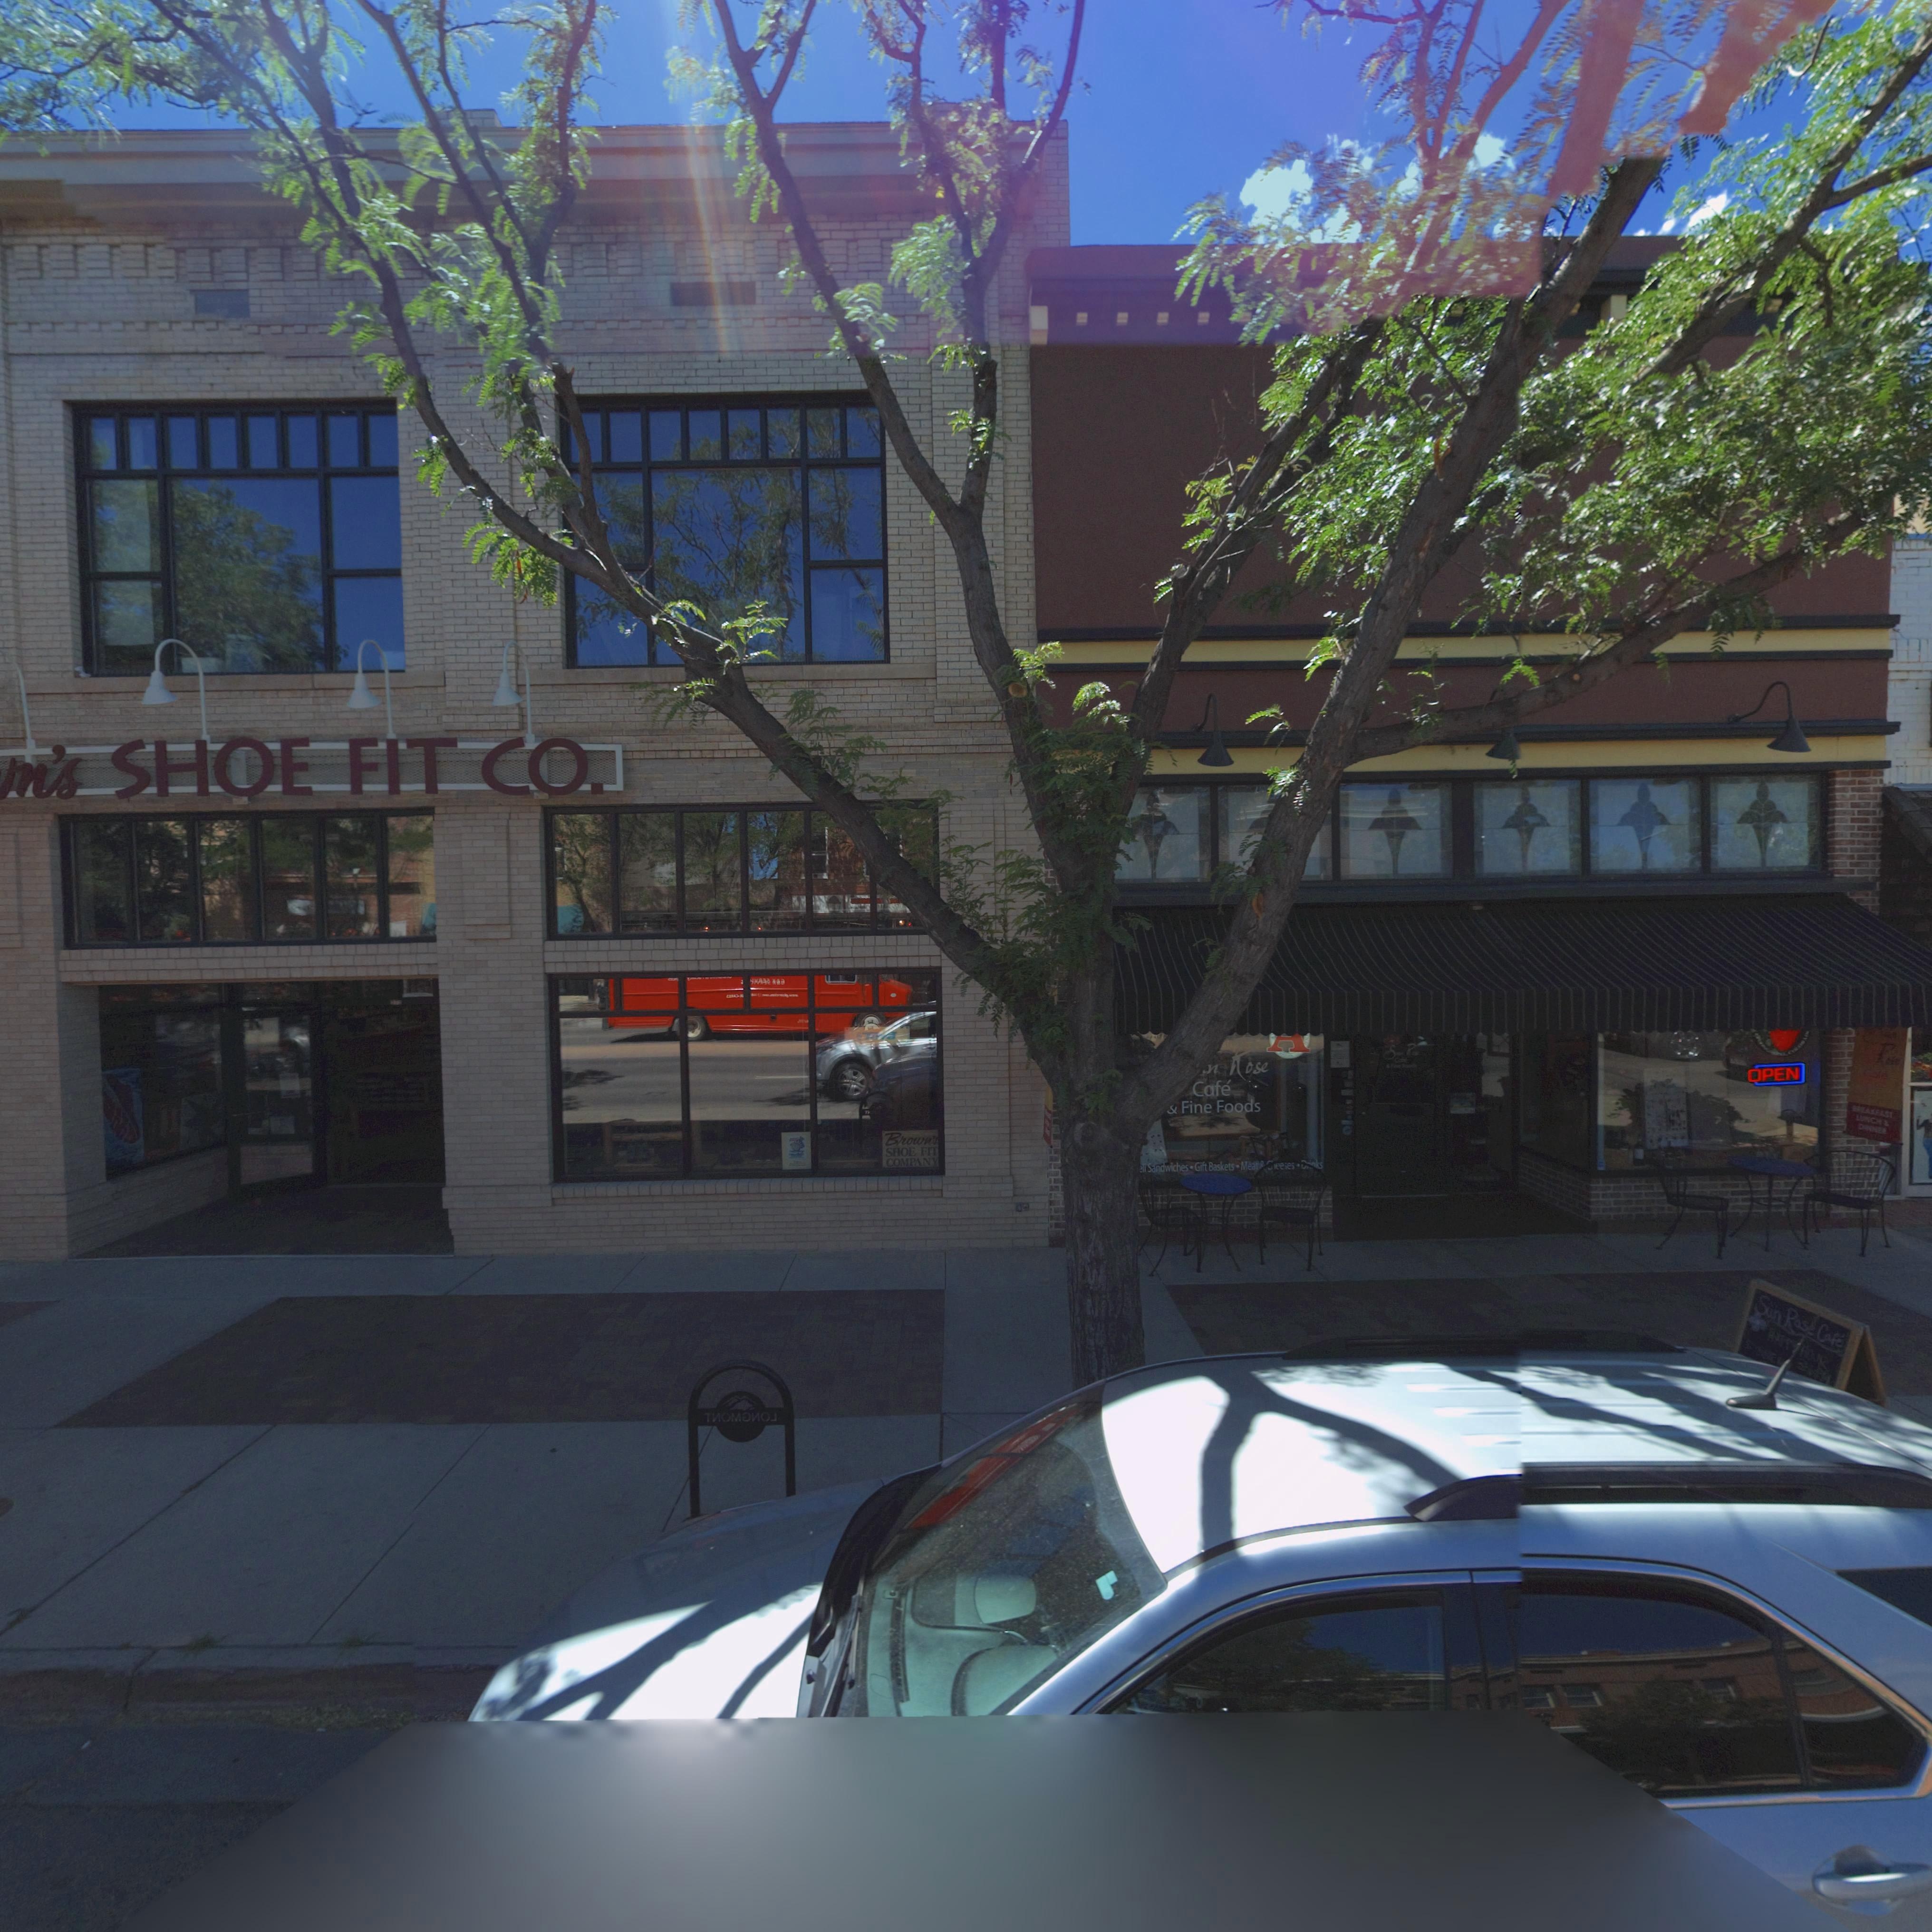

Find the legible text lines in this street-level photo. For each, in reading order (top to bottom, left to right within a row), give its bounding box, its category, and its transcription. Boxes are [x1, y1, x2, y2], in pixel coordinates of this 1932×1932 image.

[14, 734, 604, 801] BusinessName: n's SHOE FIT CO.
[1199, 1034, 1269, 1081] BusinessName: *n Rose
[1382, 1042, 1420, 1061] None: S** R**e
[1394, 1056, 1408, 1063] BusinessName: Cafe
[1872, 1041, 1901, 1066] BusinessName: Rose
[1862, 1068, 1888, 1080] BusinessName: C*fe
[1191, 1079, 1231, 1097] BusinessName: Cafe
[884, 1131, 938, 1147] BusinessName: Brown's
[885, 1146, 939, 1158] BusinessName: SHOE FIT
[885, 1156, 938, 1167] BusinessName: COMPANY
[1753, 1294, 1847, 1349] BusinessName: Sun Rose Cafe